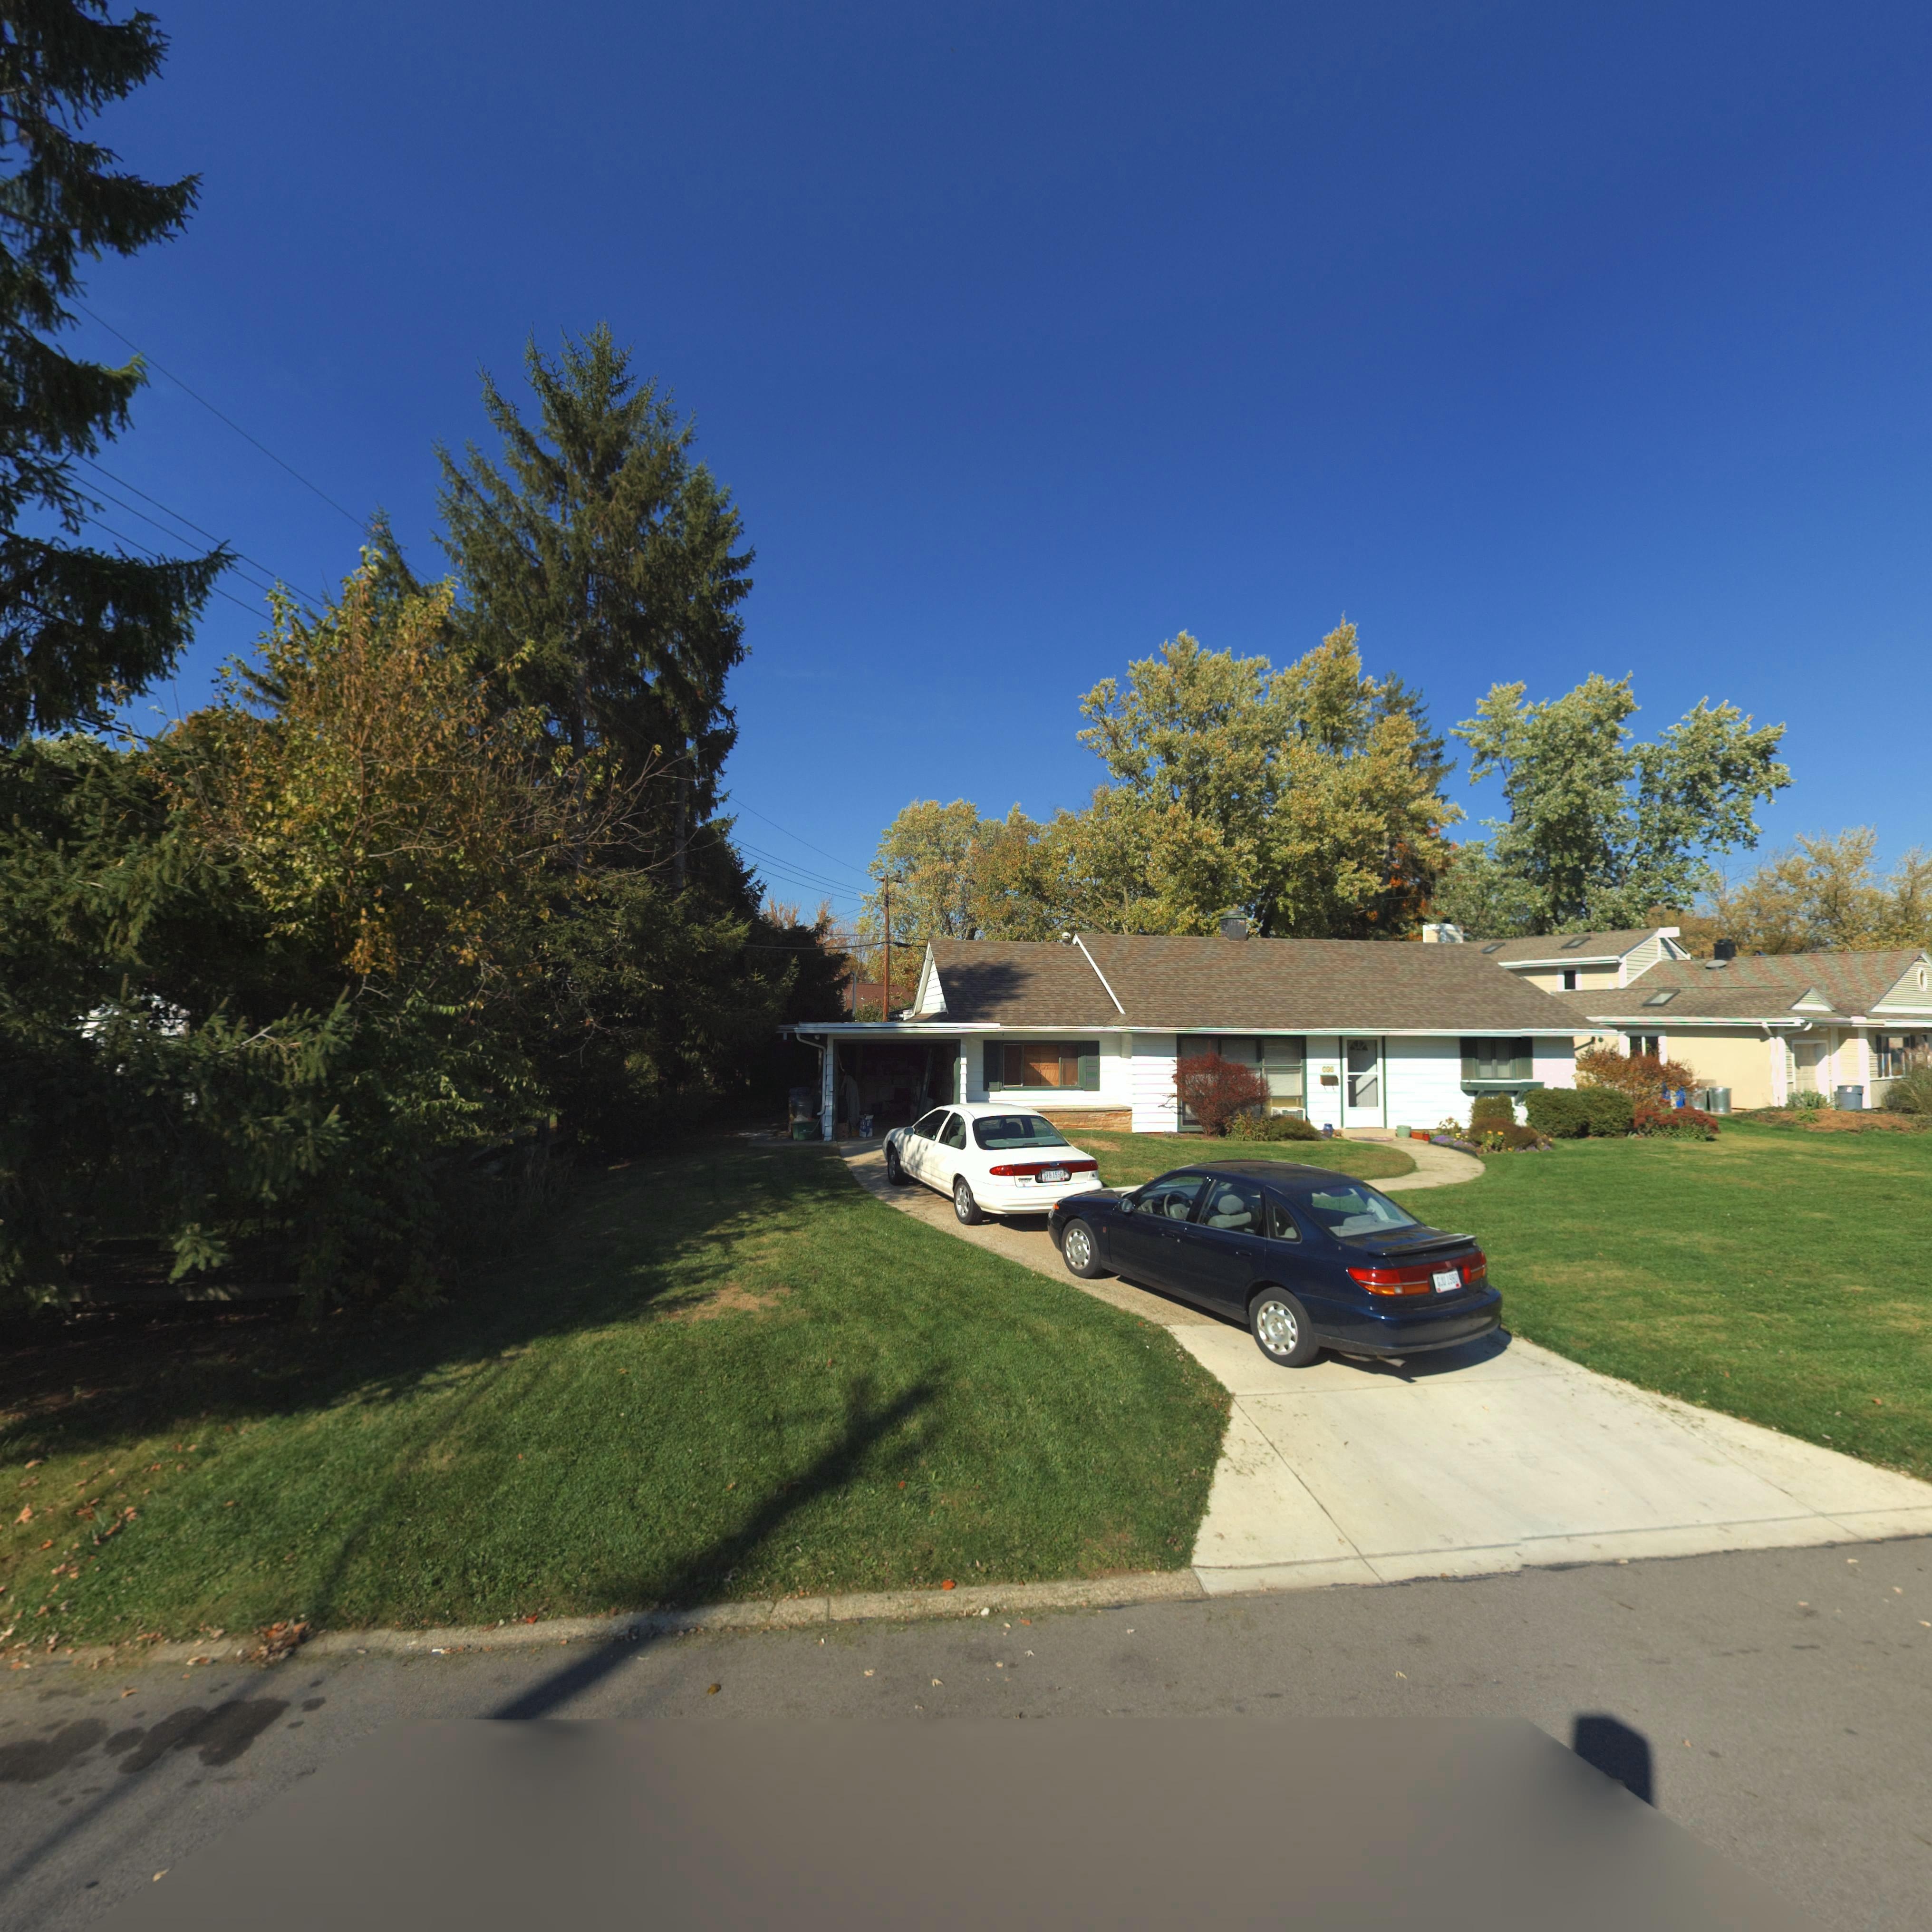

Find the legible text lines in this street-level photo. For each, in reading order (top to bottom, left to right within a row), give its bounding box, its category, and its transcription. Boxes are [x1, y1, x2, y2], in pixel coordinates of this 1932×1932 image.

[1043, 1170, 1063, 1178] None: GFB 1550
[1435, 1272, 1459, 1287] None: GJU 1980